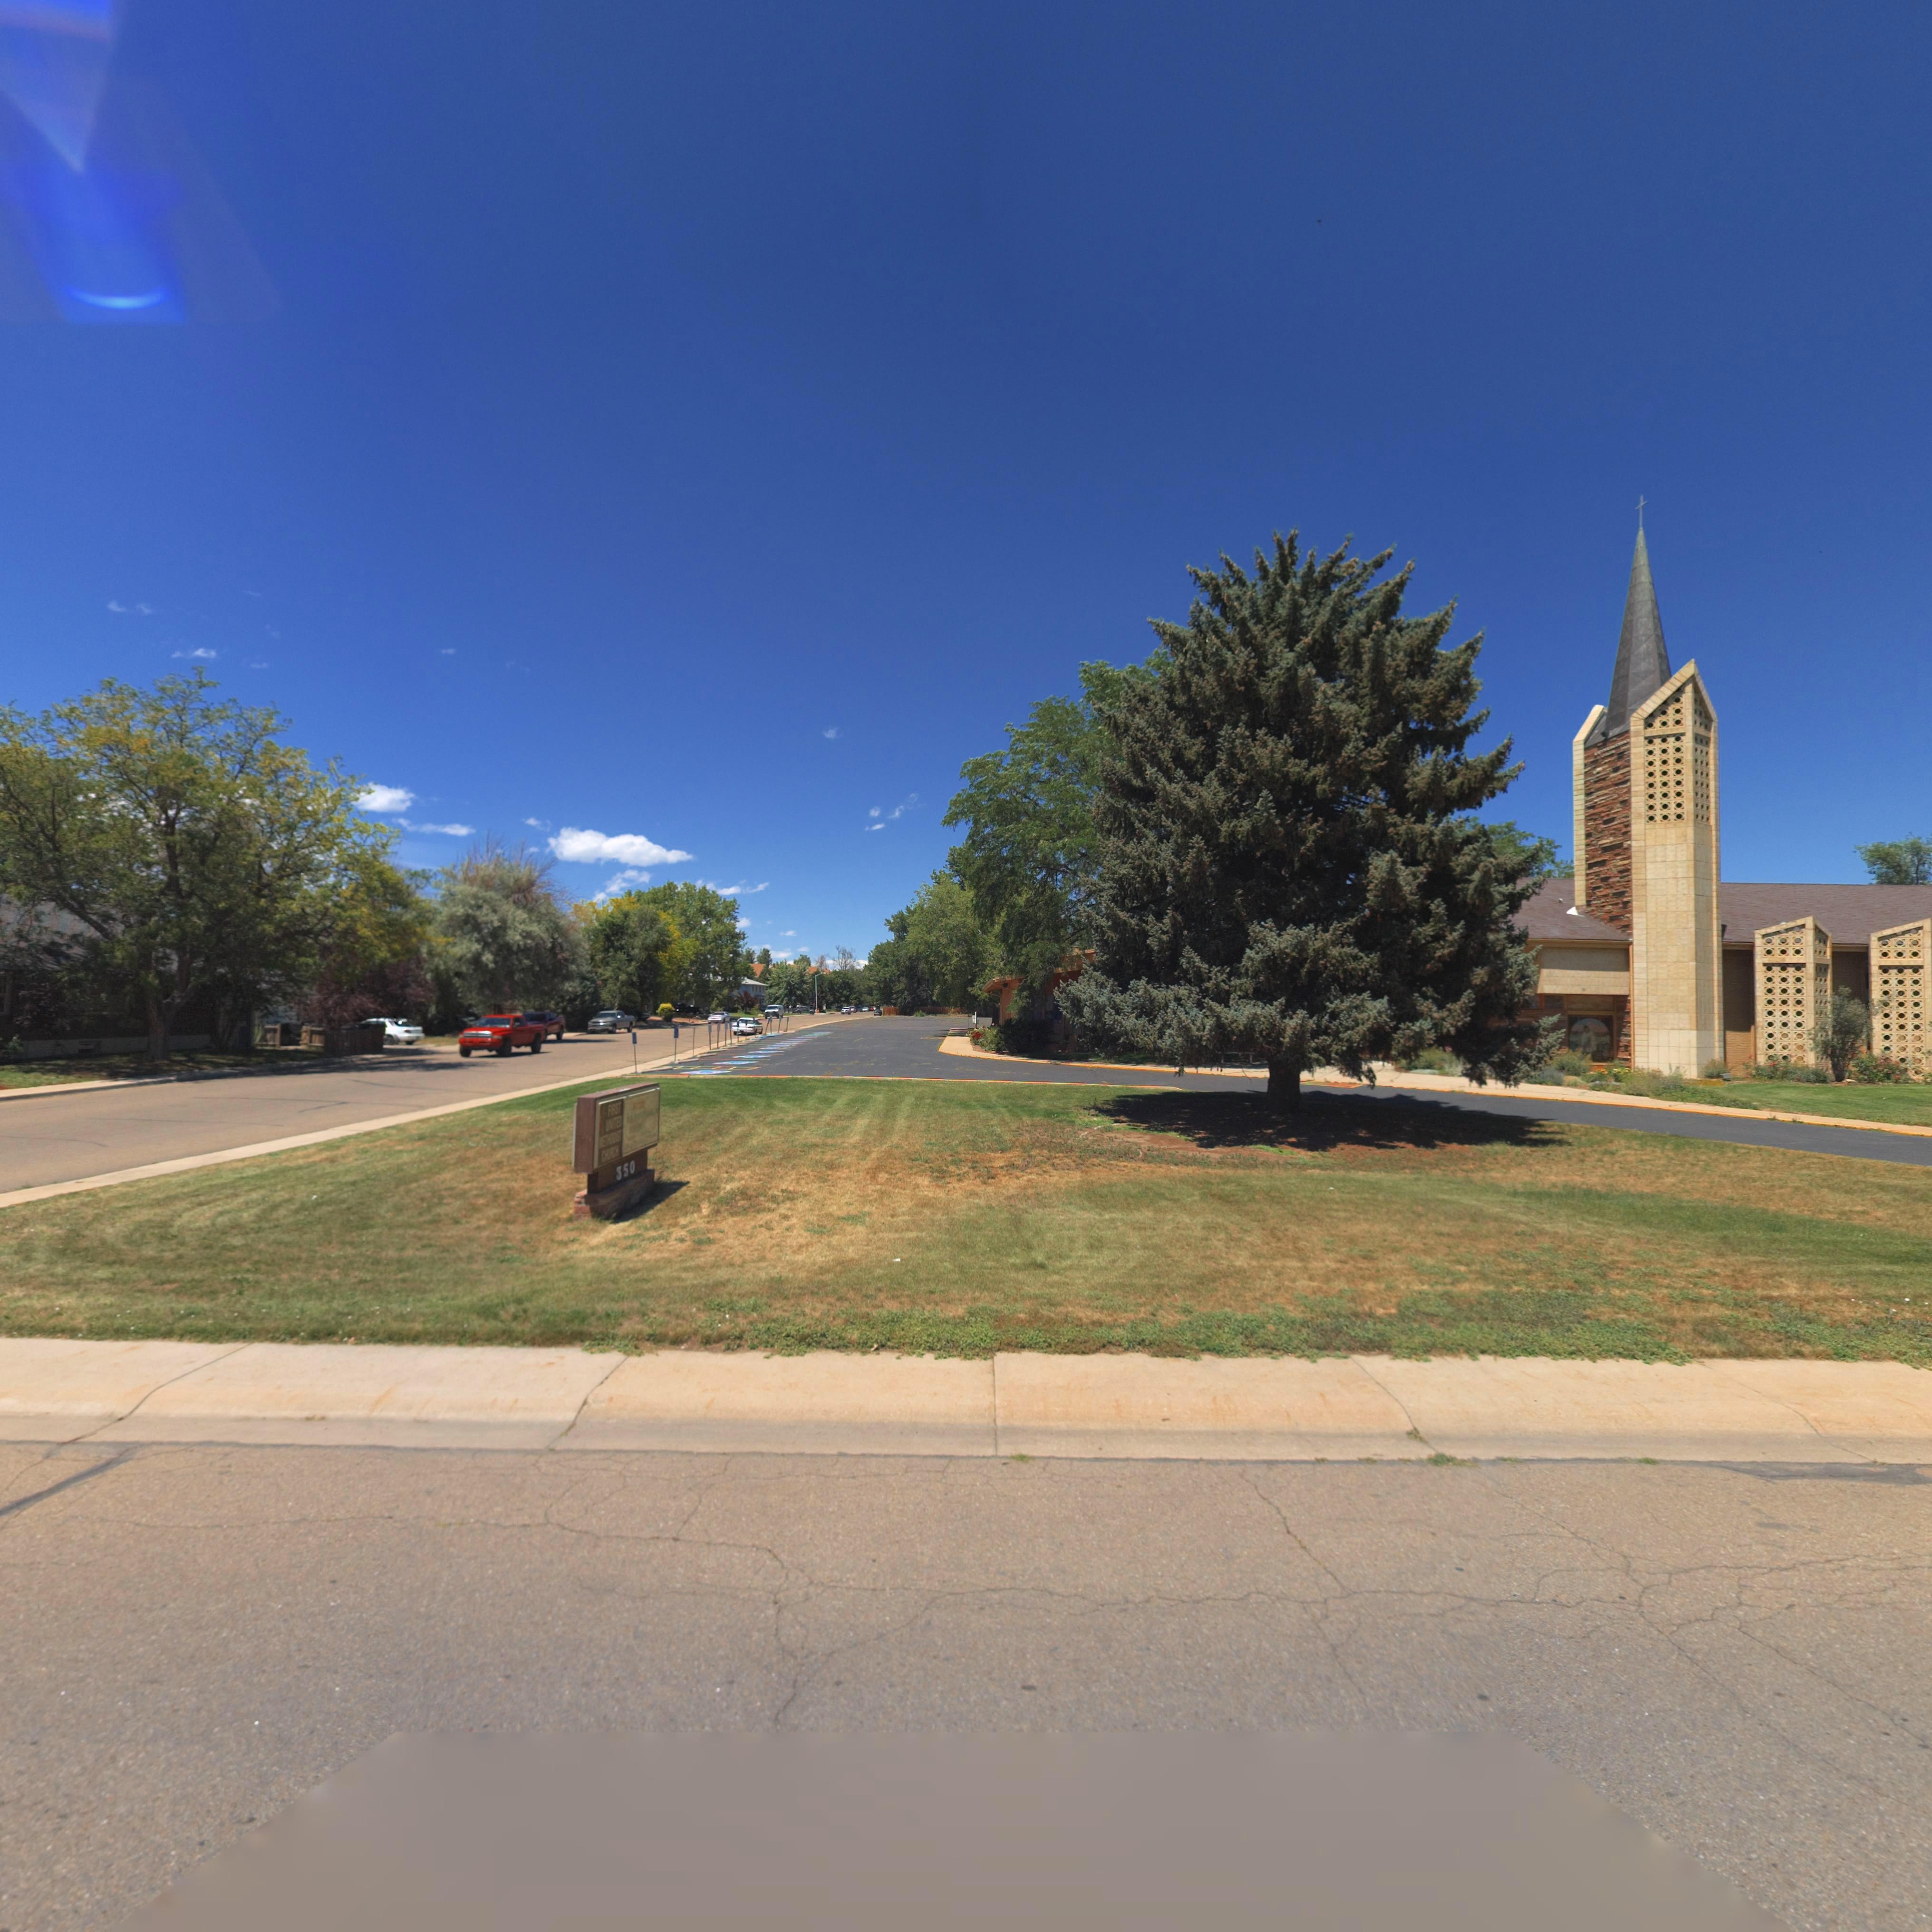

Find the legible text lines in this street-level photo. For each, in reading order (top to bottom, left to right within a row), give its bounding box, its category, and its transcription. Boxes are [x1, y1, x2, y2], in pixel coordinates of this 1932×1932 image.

[608, 1101, 621, 1116] BusinessName: FIRST
[606, 1115, 621, 1131] BusinessName: UNITED
[599, 1130, 622, 1149] BusinessName: METHODIST
[602, 1145, 618, 1163] BusinessName: CHURCH
[616, 1160, 635, 1180] StreetNumber: 350